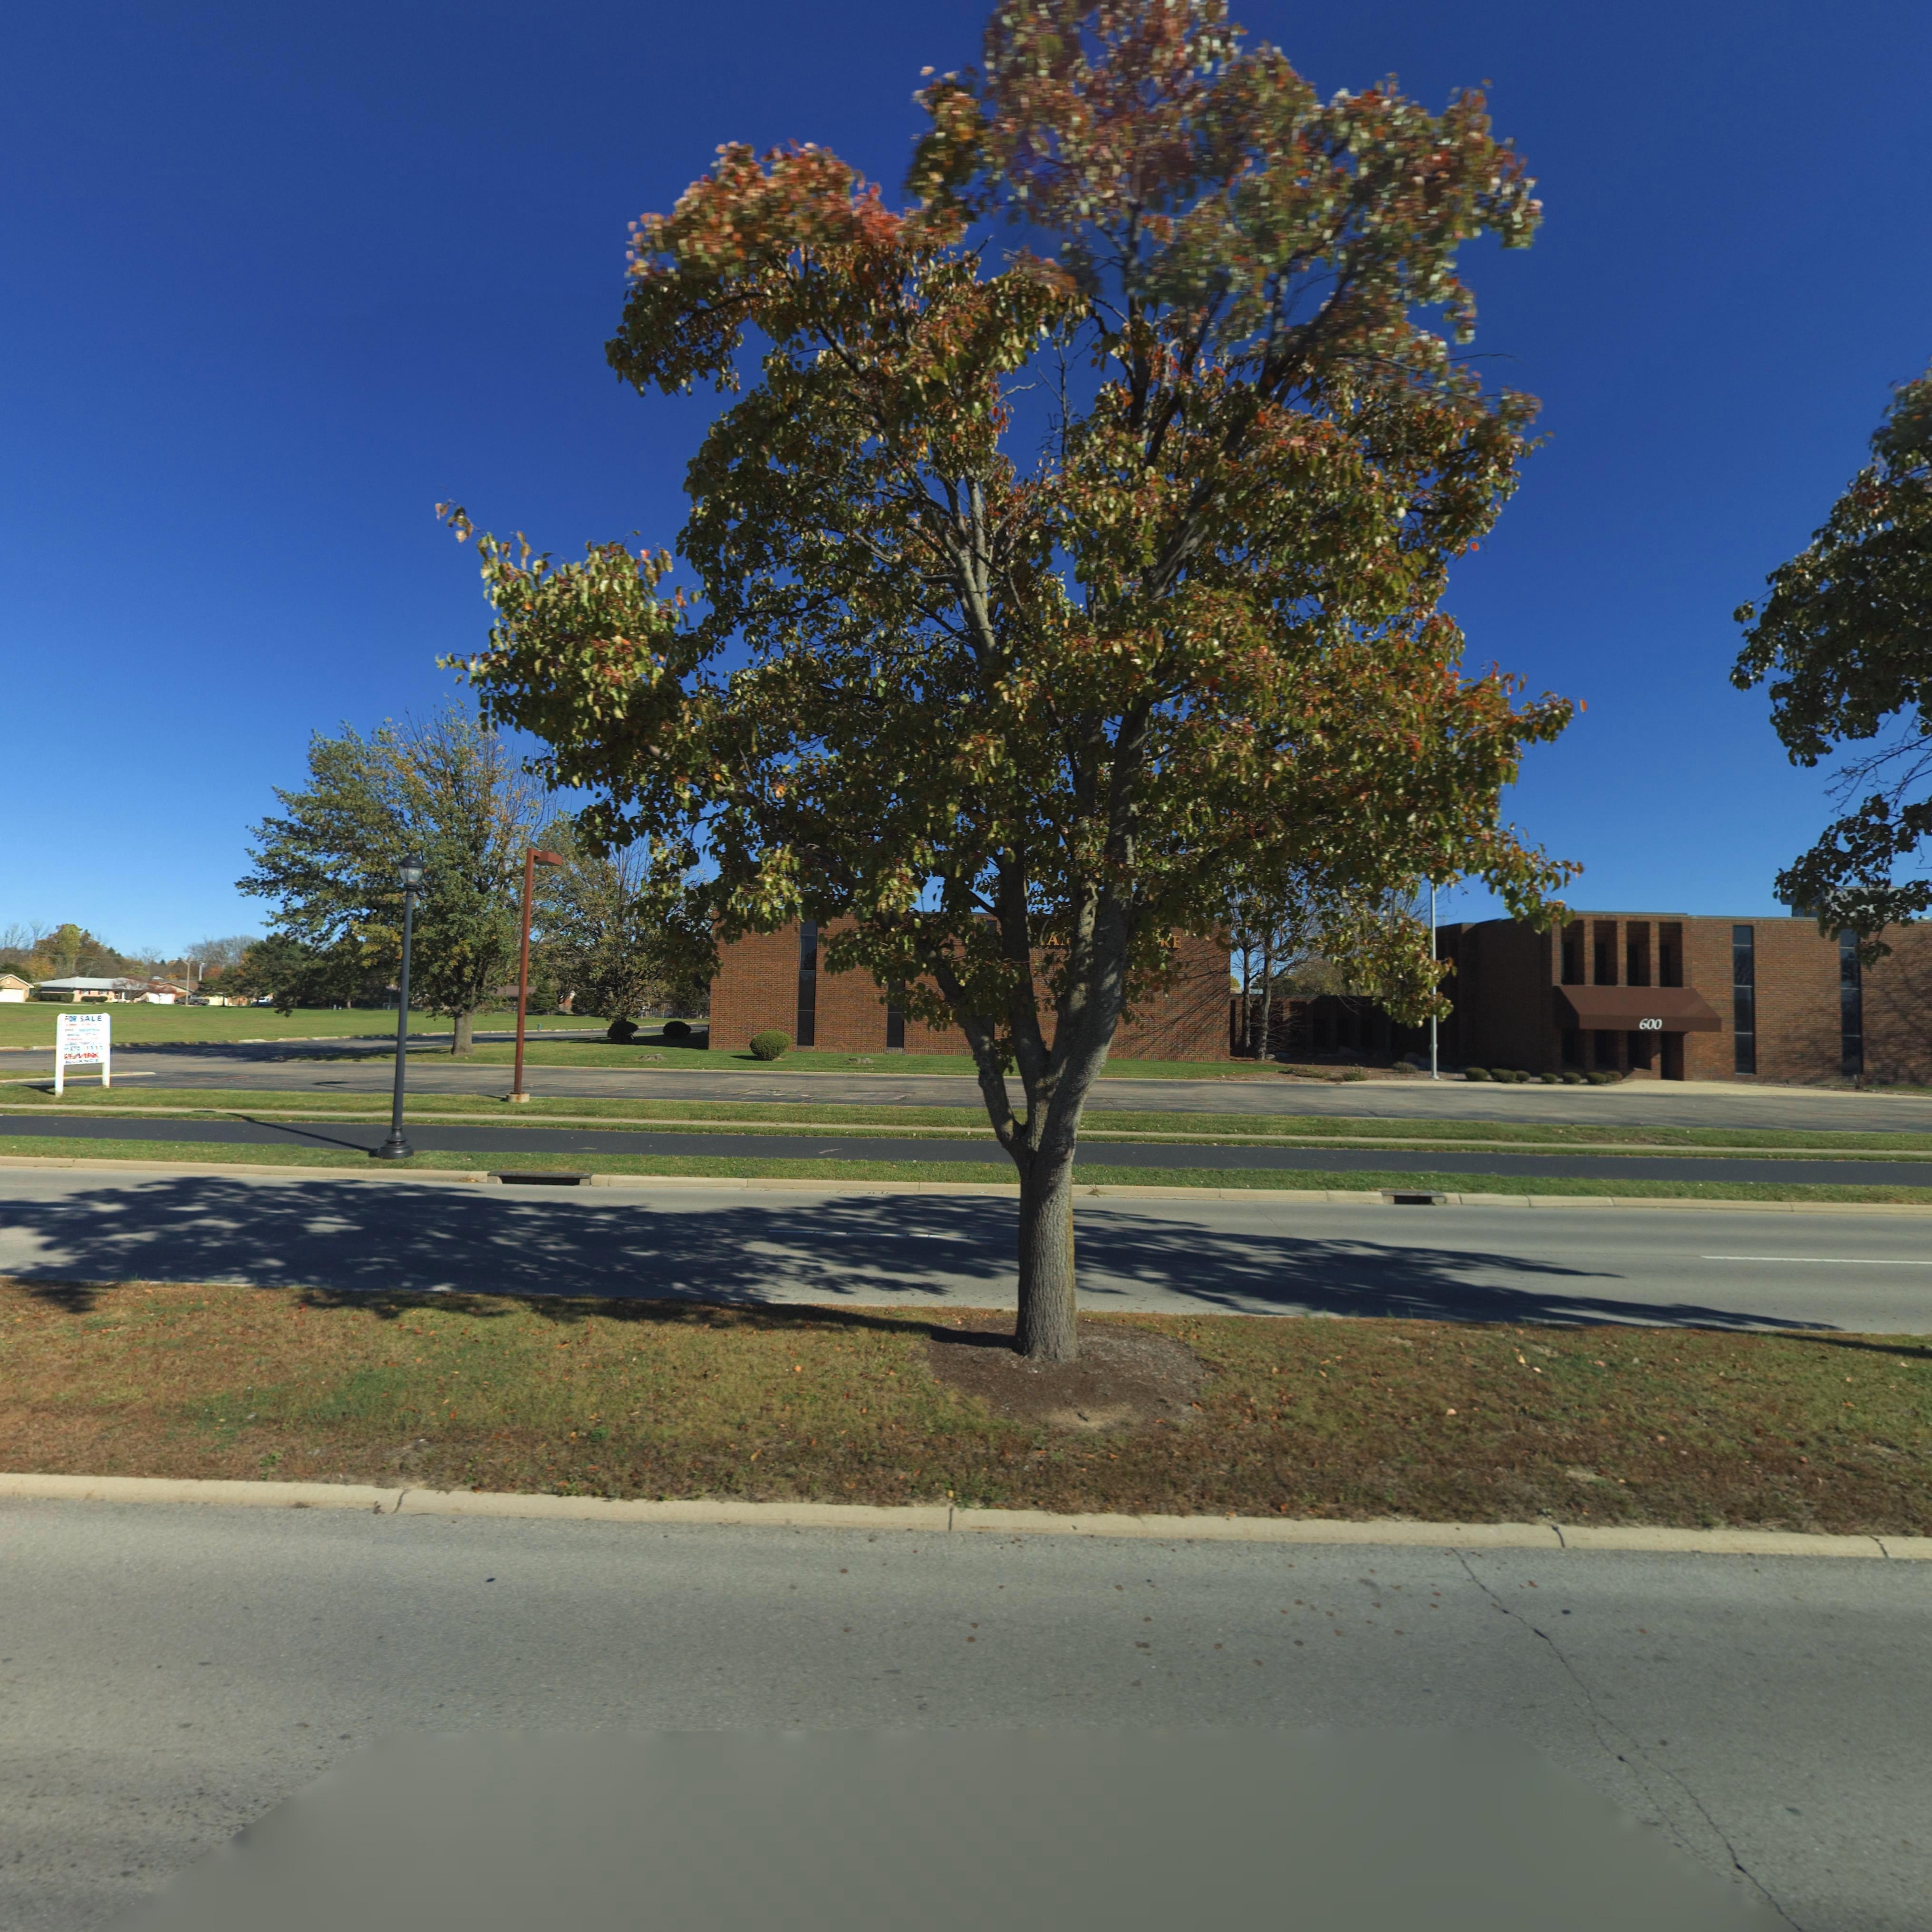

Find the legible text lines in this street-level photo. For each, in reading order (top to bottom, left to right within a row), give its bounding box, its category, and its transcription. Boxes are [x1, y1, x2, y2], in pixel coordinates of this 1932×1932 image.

[1637, 1017, 1664, 1031] StreetNumber: 600